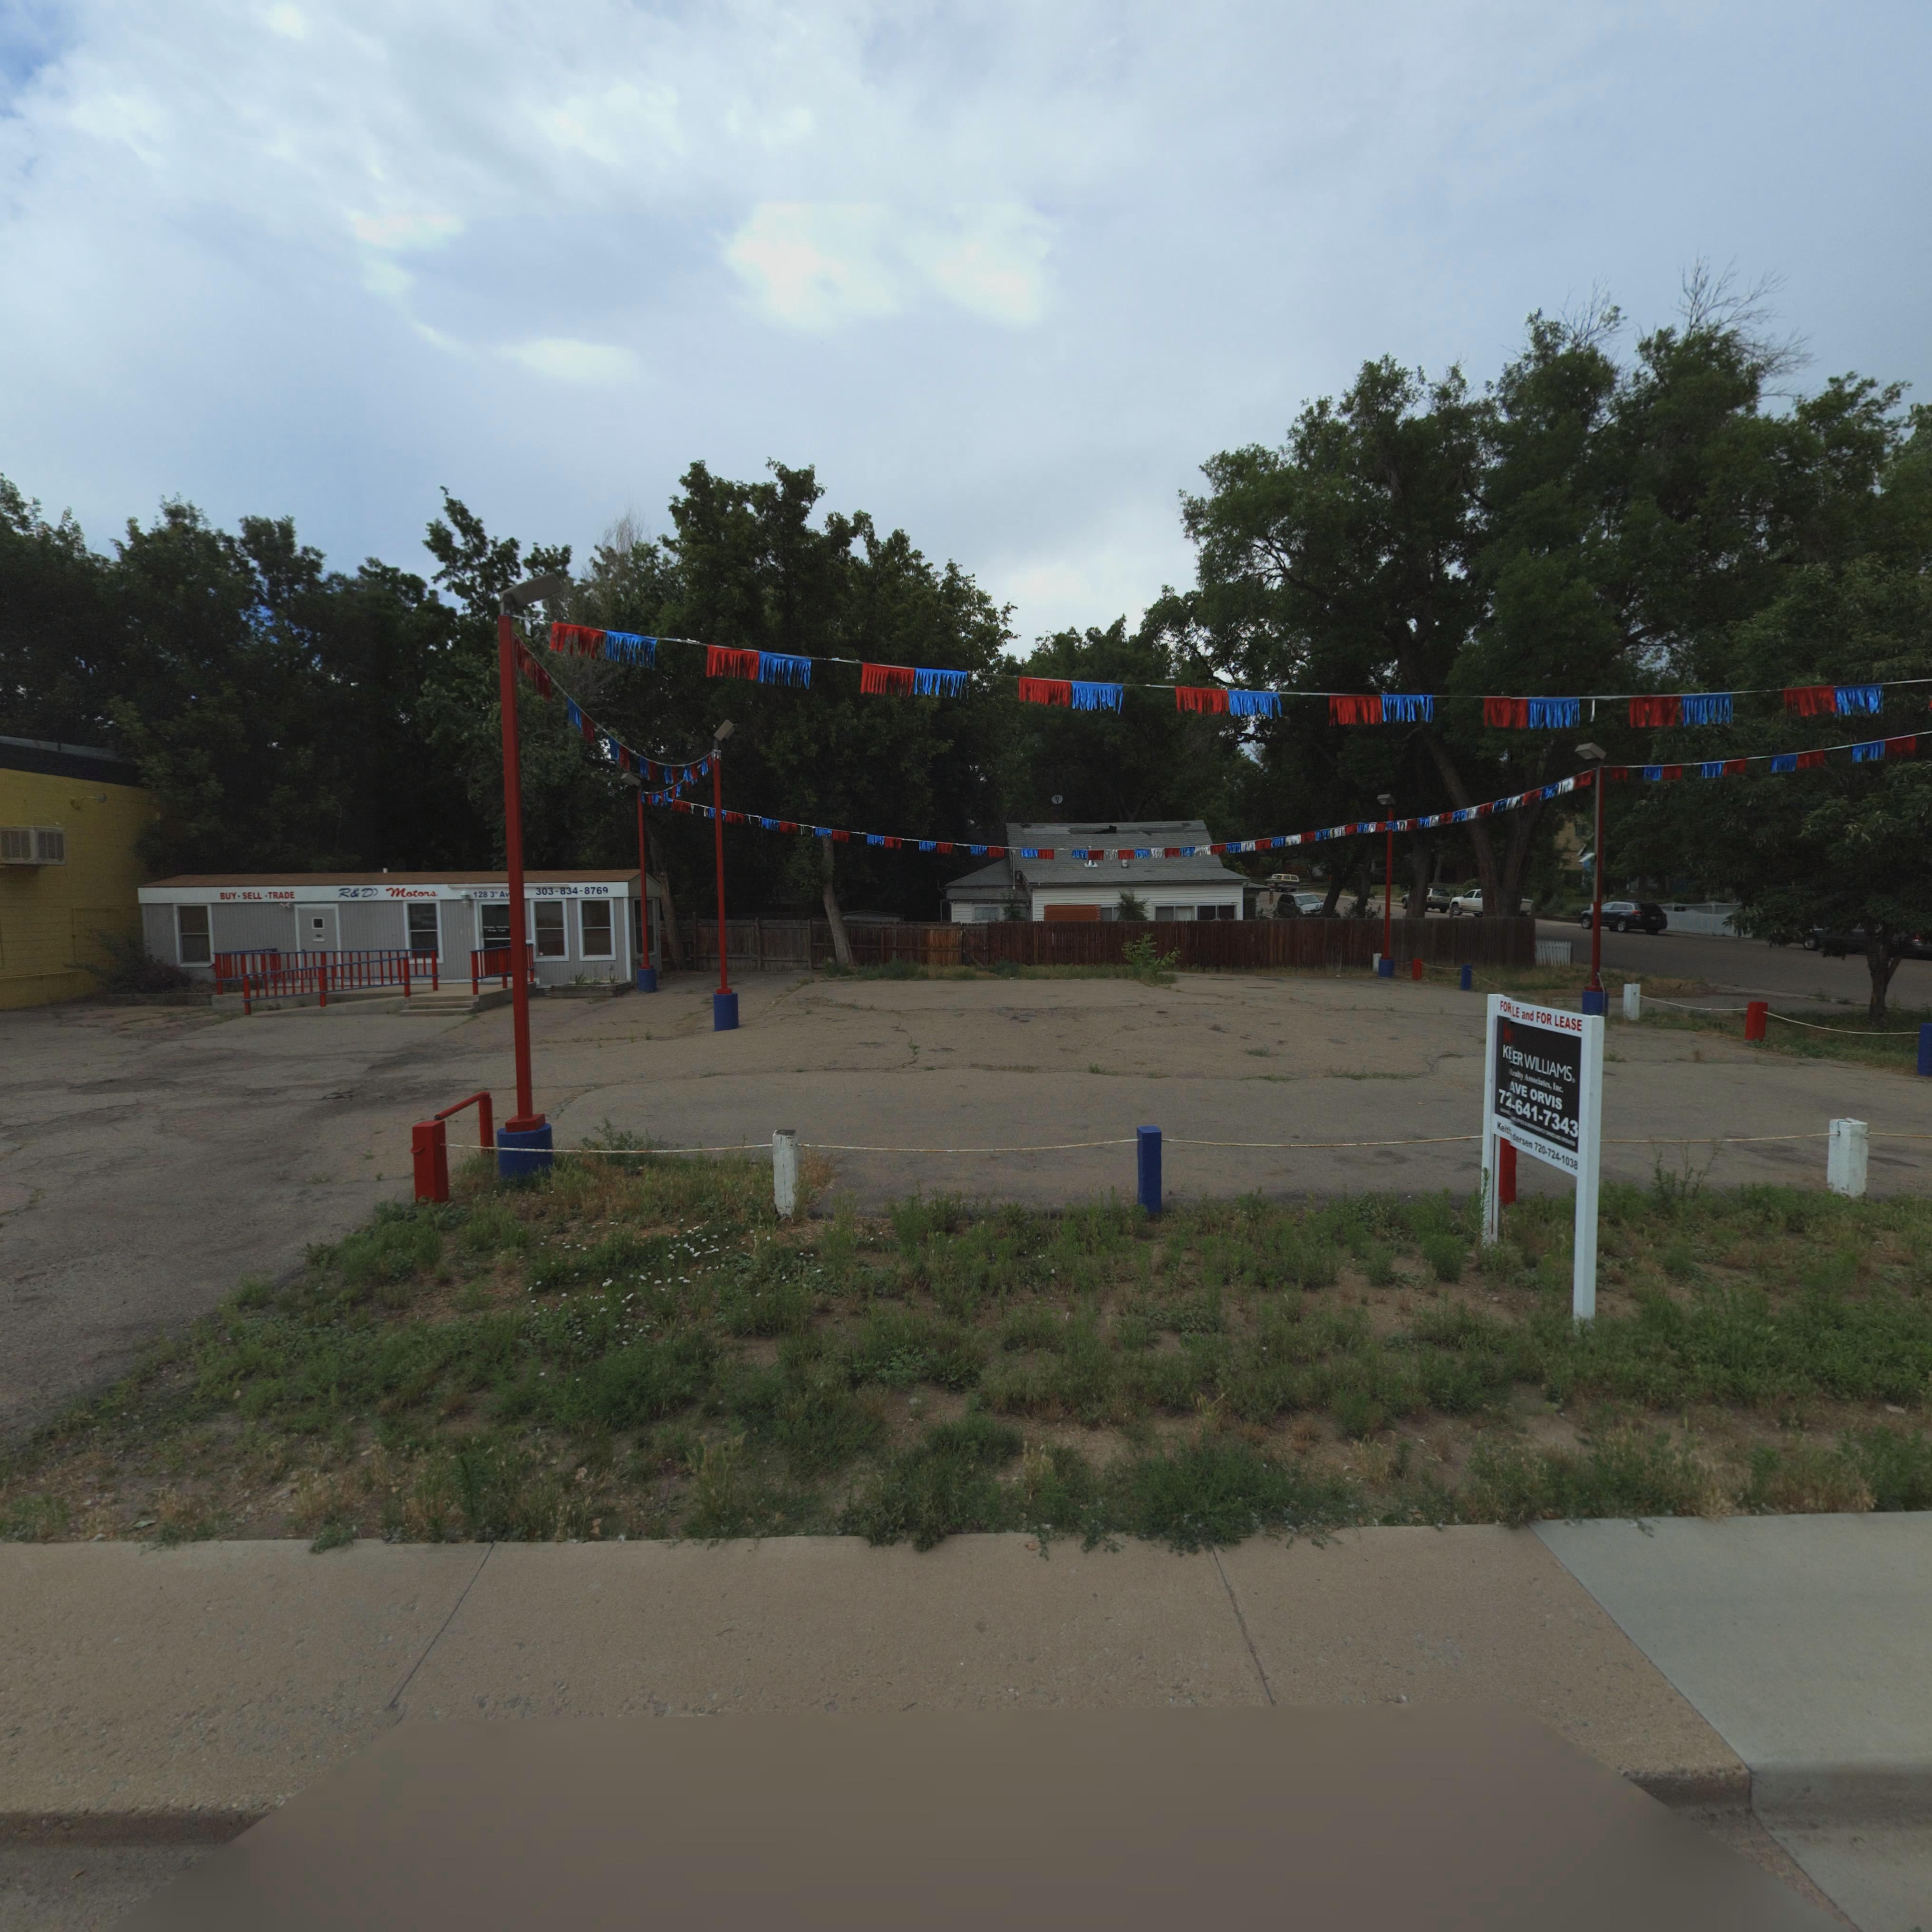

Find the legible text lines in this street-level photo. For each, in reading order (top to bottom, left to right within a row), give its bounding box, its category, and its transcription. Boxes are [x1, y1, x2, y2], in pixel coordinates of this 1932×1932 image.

[337, 887, 374, 898] BusinessName: R*D
[385, 886, 439, 898] BusinessName: Motors
[473, 890, 487, 898] StreetNumber: 128
[489, 889, 510, 898] StreetName: 3* Av